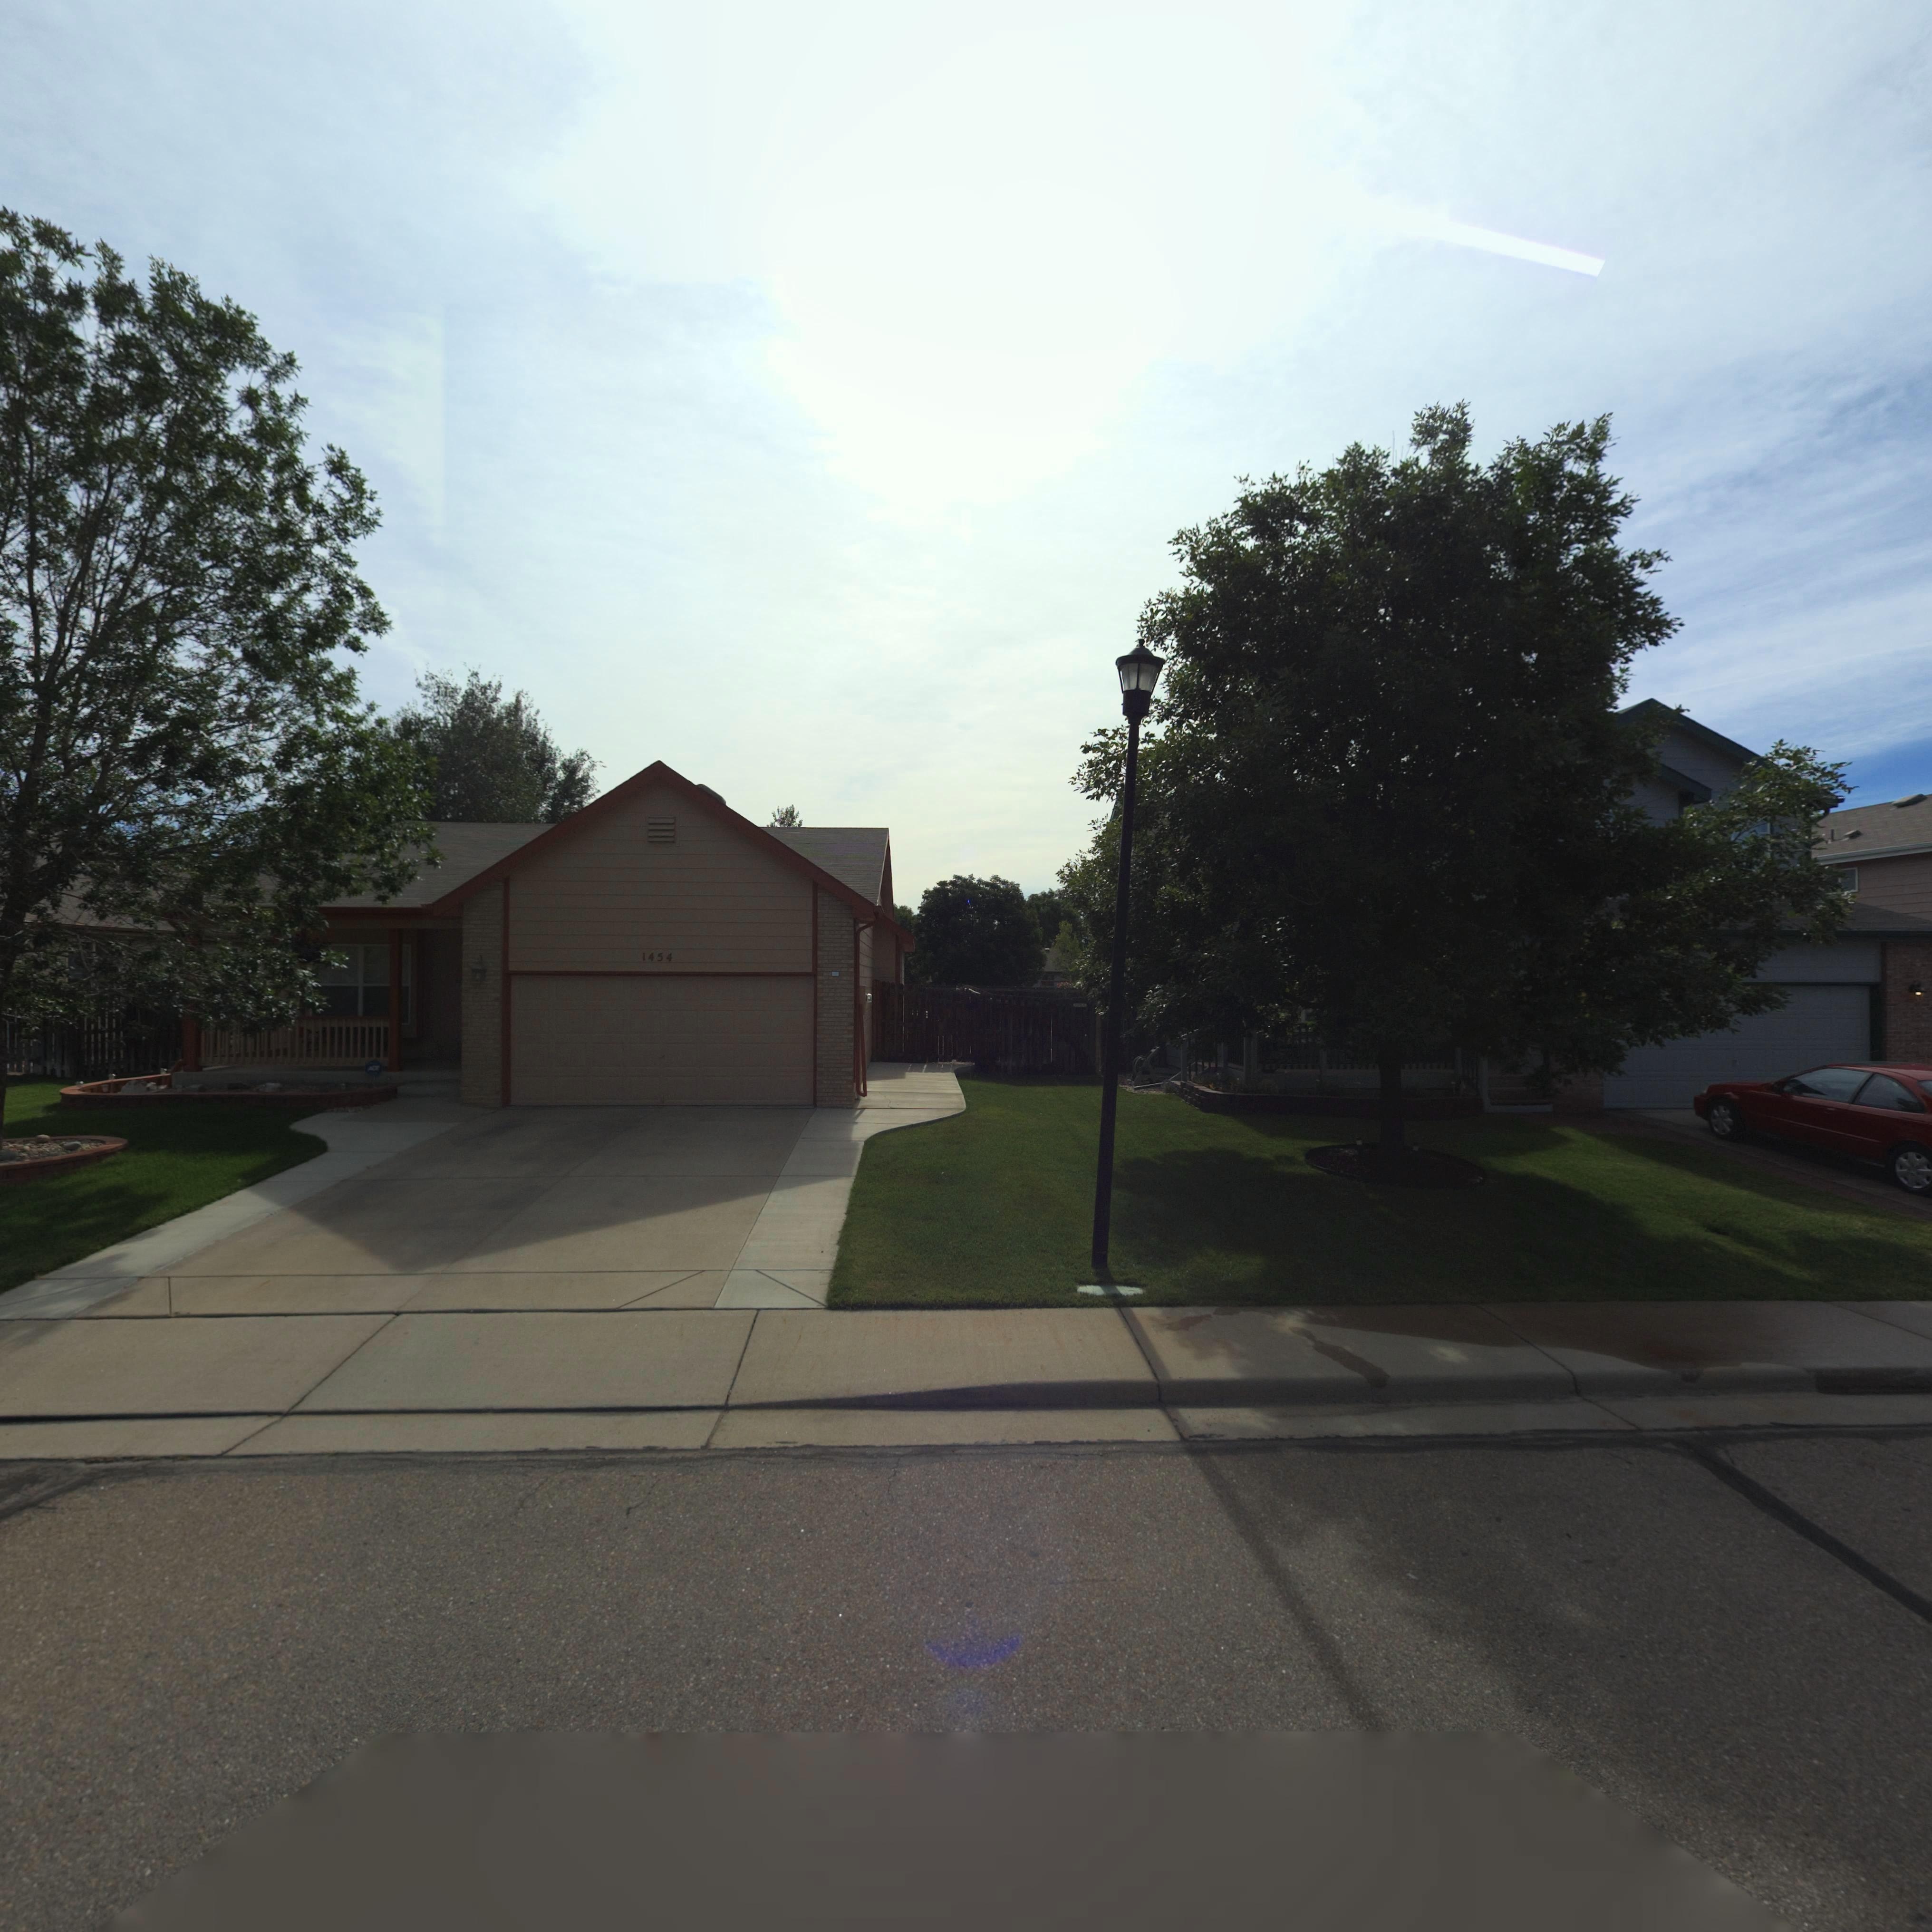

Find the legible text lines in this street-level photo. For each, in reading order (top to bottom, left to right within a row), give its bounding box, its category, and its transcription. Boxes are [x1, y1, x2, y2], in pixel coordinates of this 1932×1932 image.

[640, 951, 674, 962] StreetNumber: 1454